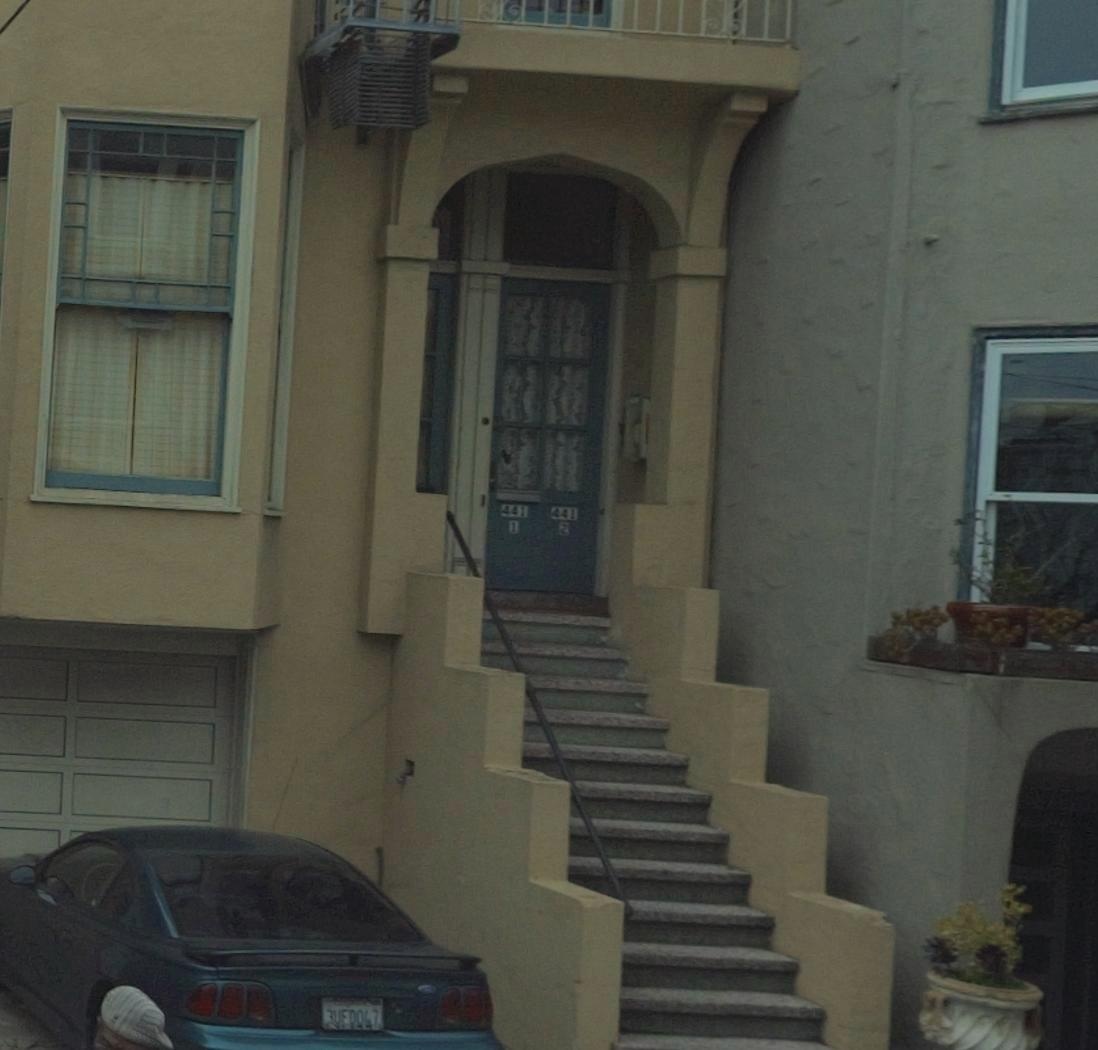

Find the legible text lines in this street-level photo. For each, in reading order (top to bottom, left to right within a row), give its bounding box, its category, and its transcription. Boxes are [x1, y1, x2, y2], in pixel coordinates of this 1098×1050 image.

[501, 504, 526, 518] StreetNumber: 441 1
[550, 506, 576, 521] StreetNumber: 441
[511, 521, 516, 533] SecondaryUnitDesignator: 1
[559, 523, 569, 535] SecondaryUnitDesignator: 2
[323, 1005, 381, 1030] None: 3UFD047